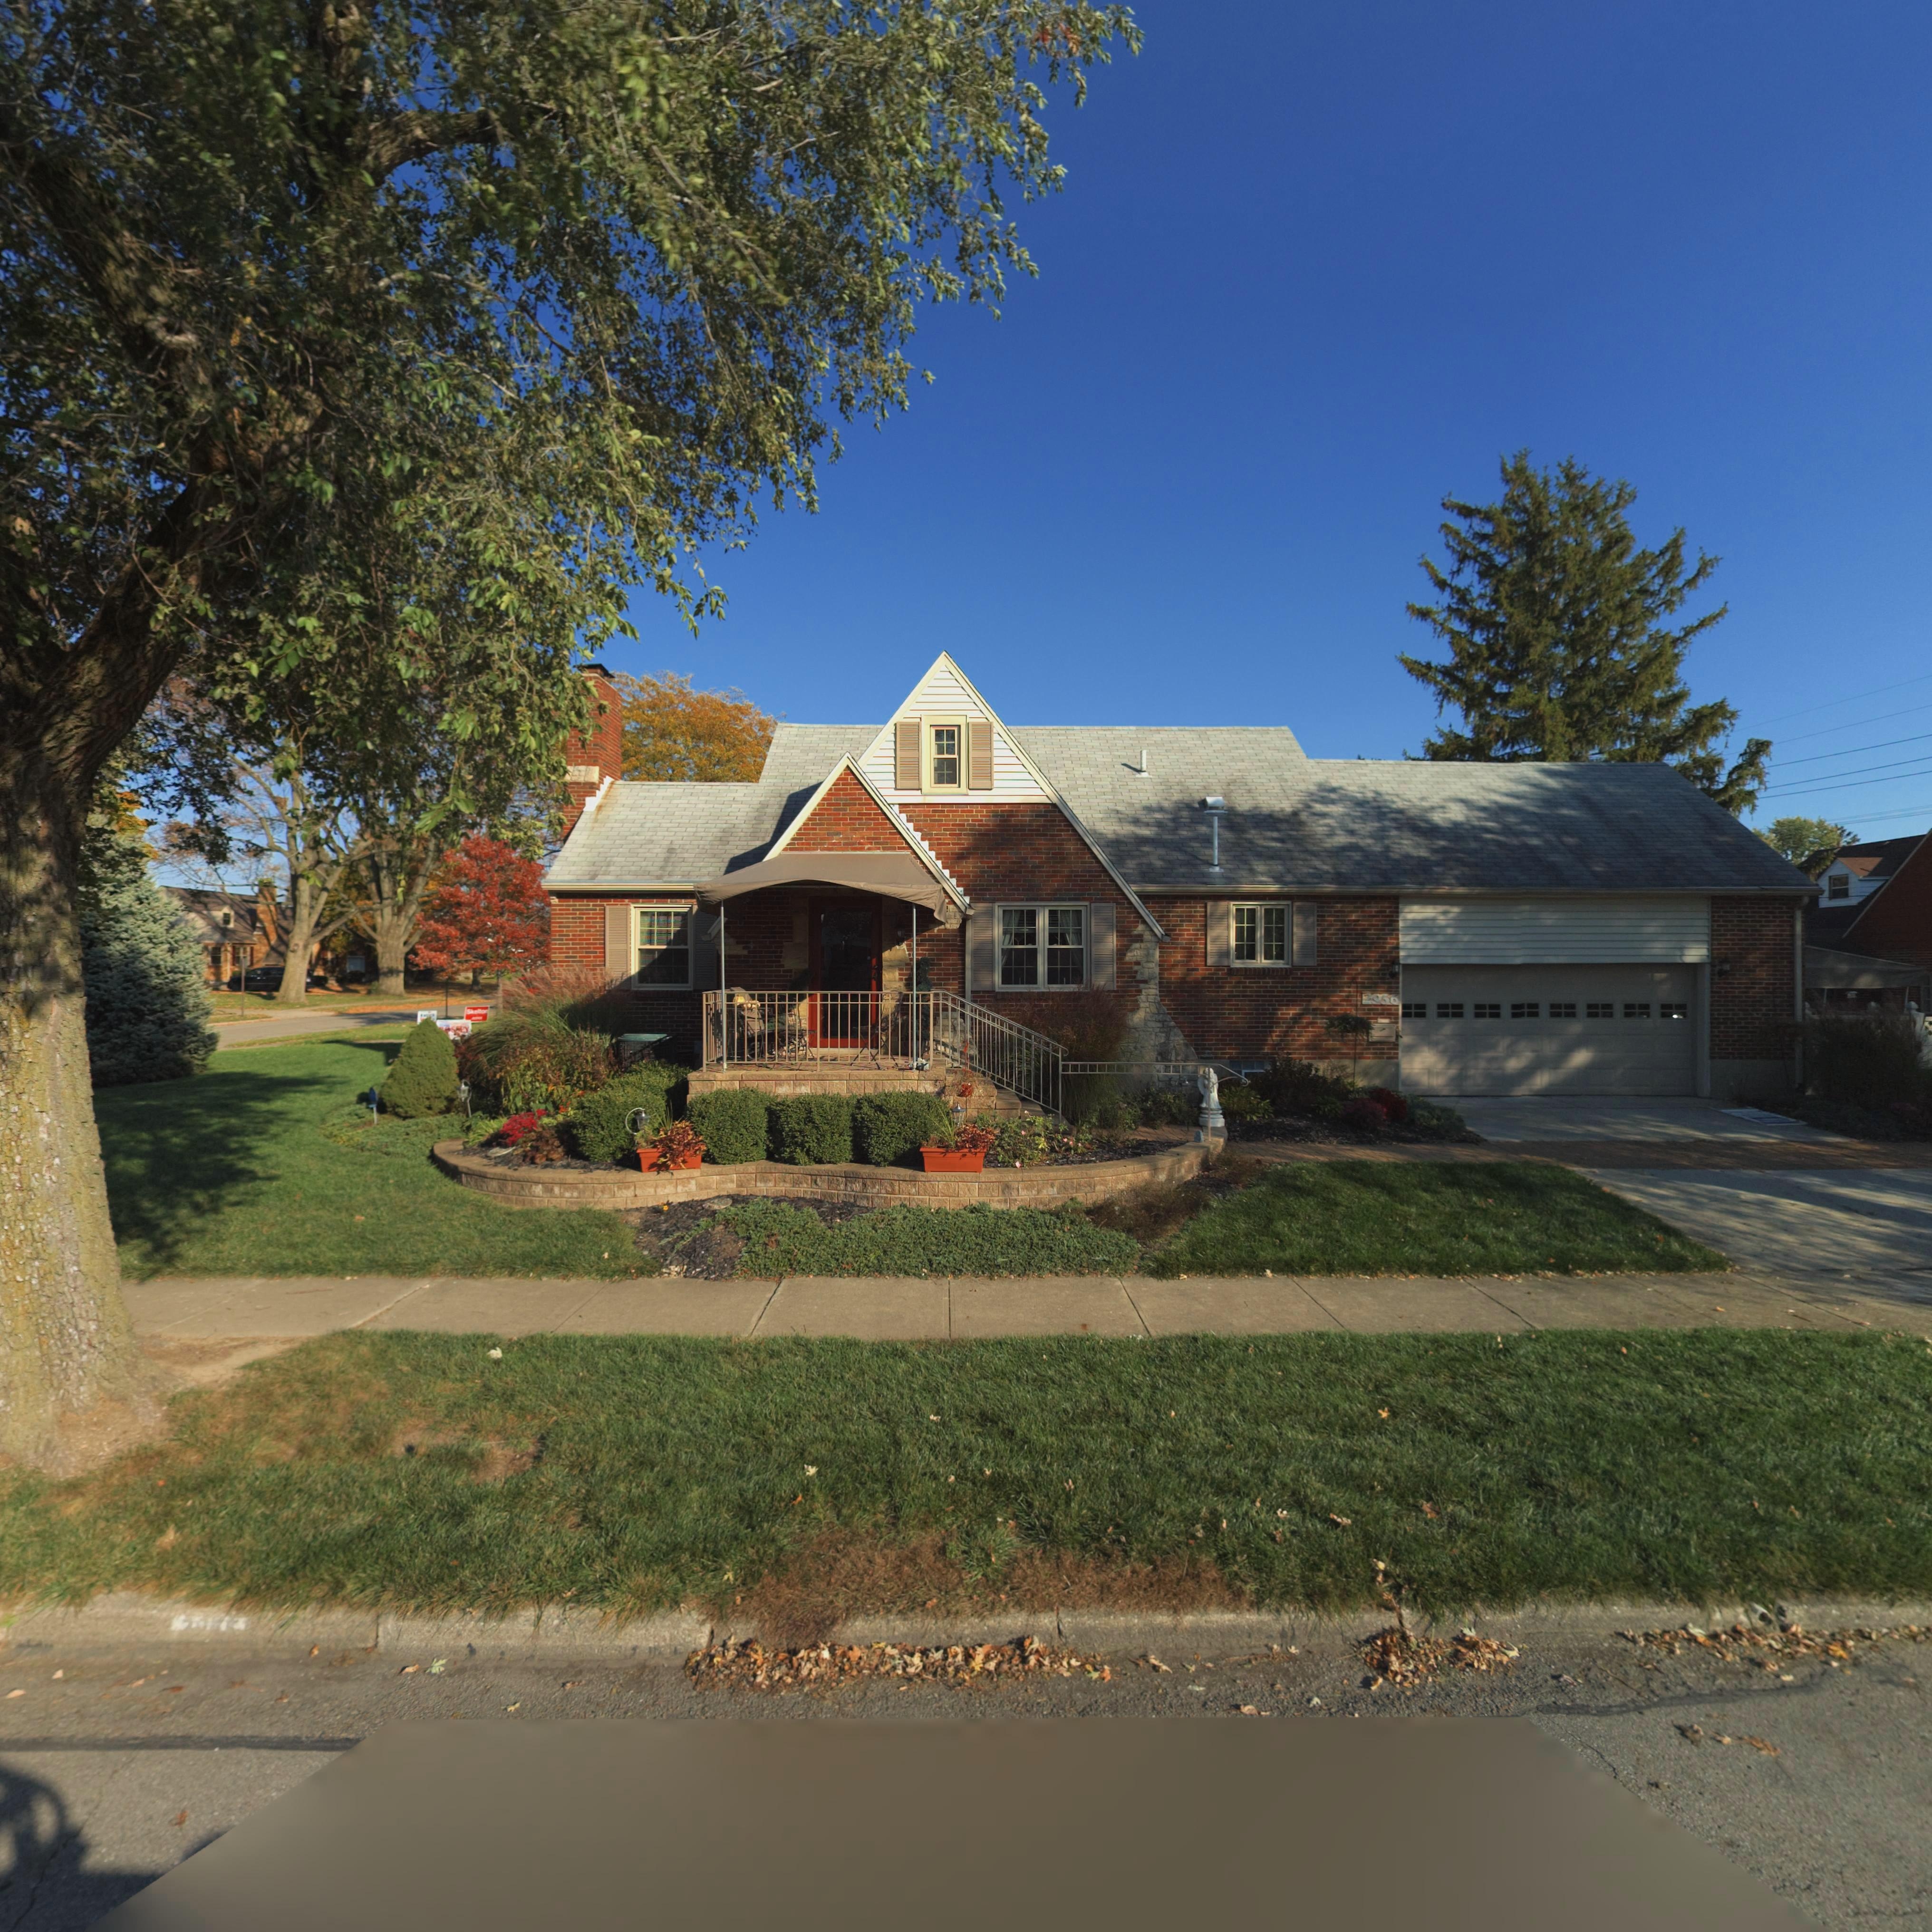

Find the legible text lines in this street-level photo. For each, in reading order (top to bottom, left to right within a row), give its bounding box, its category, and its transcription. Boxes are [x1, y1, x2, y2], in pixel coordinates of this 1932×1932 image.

[1362, 992, 1400, 1005] StreetNumber: 2956